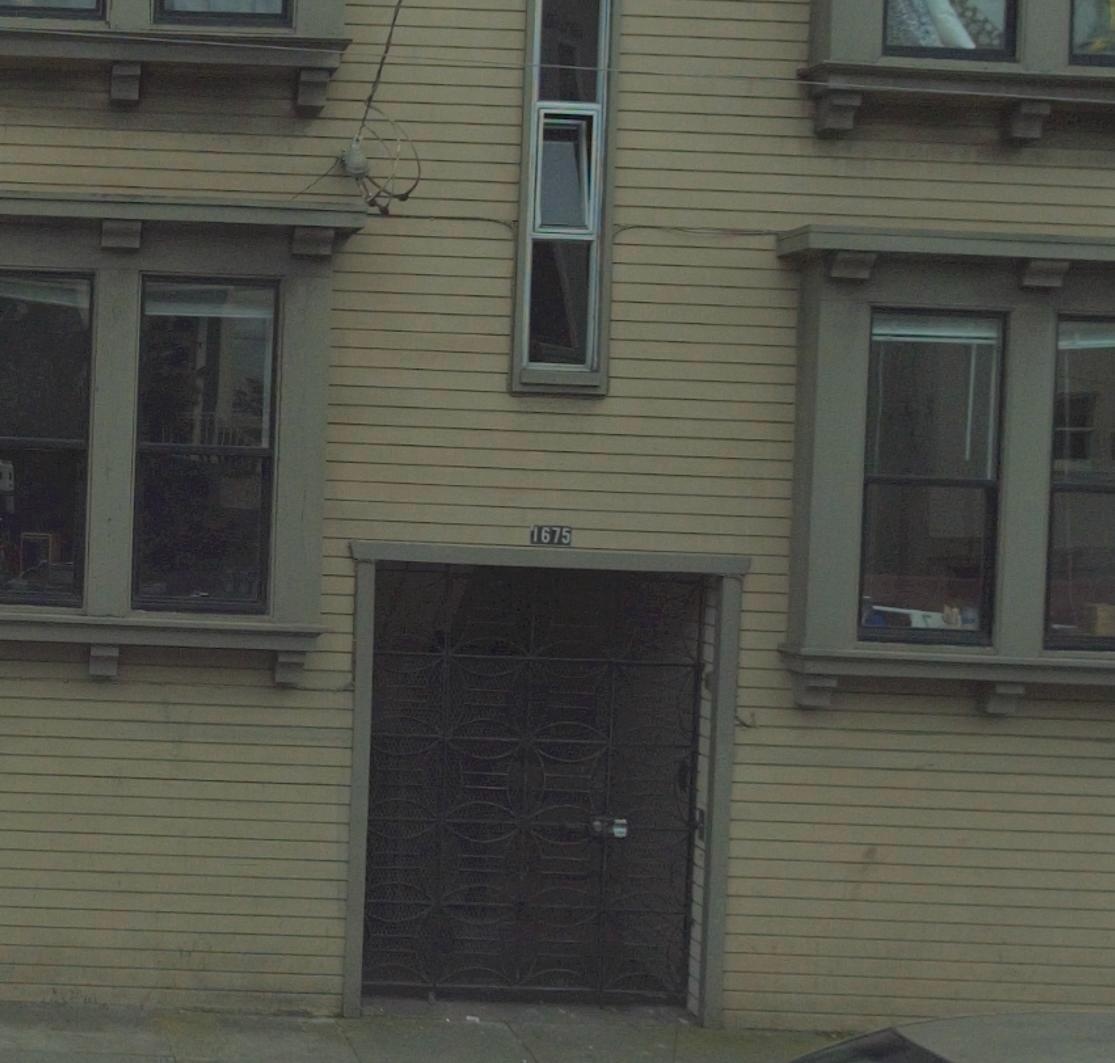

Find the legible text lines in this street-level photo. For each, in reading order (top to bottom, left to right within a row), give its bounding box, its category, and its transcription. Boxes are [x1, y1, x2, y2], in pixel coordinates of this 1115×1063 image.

[533, 526, 571, 545] StreetNumber: 1675